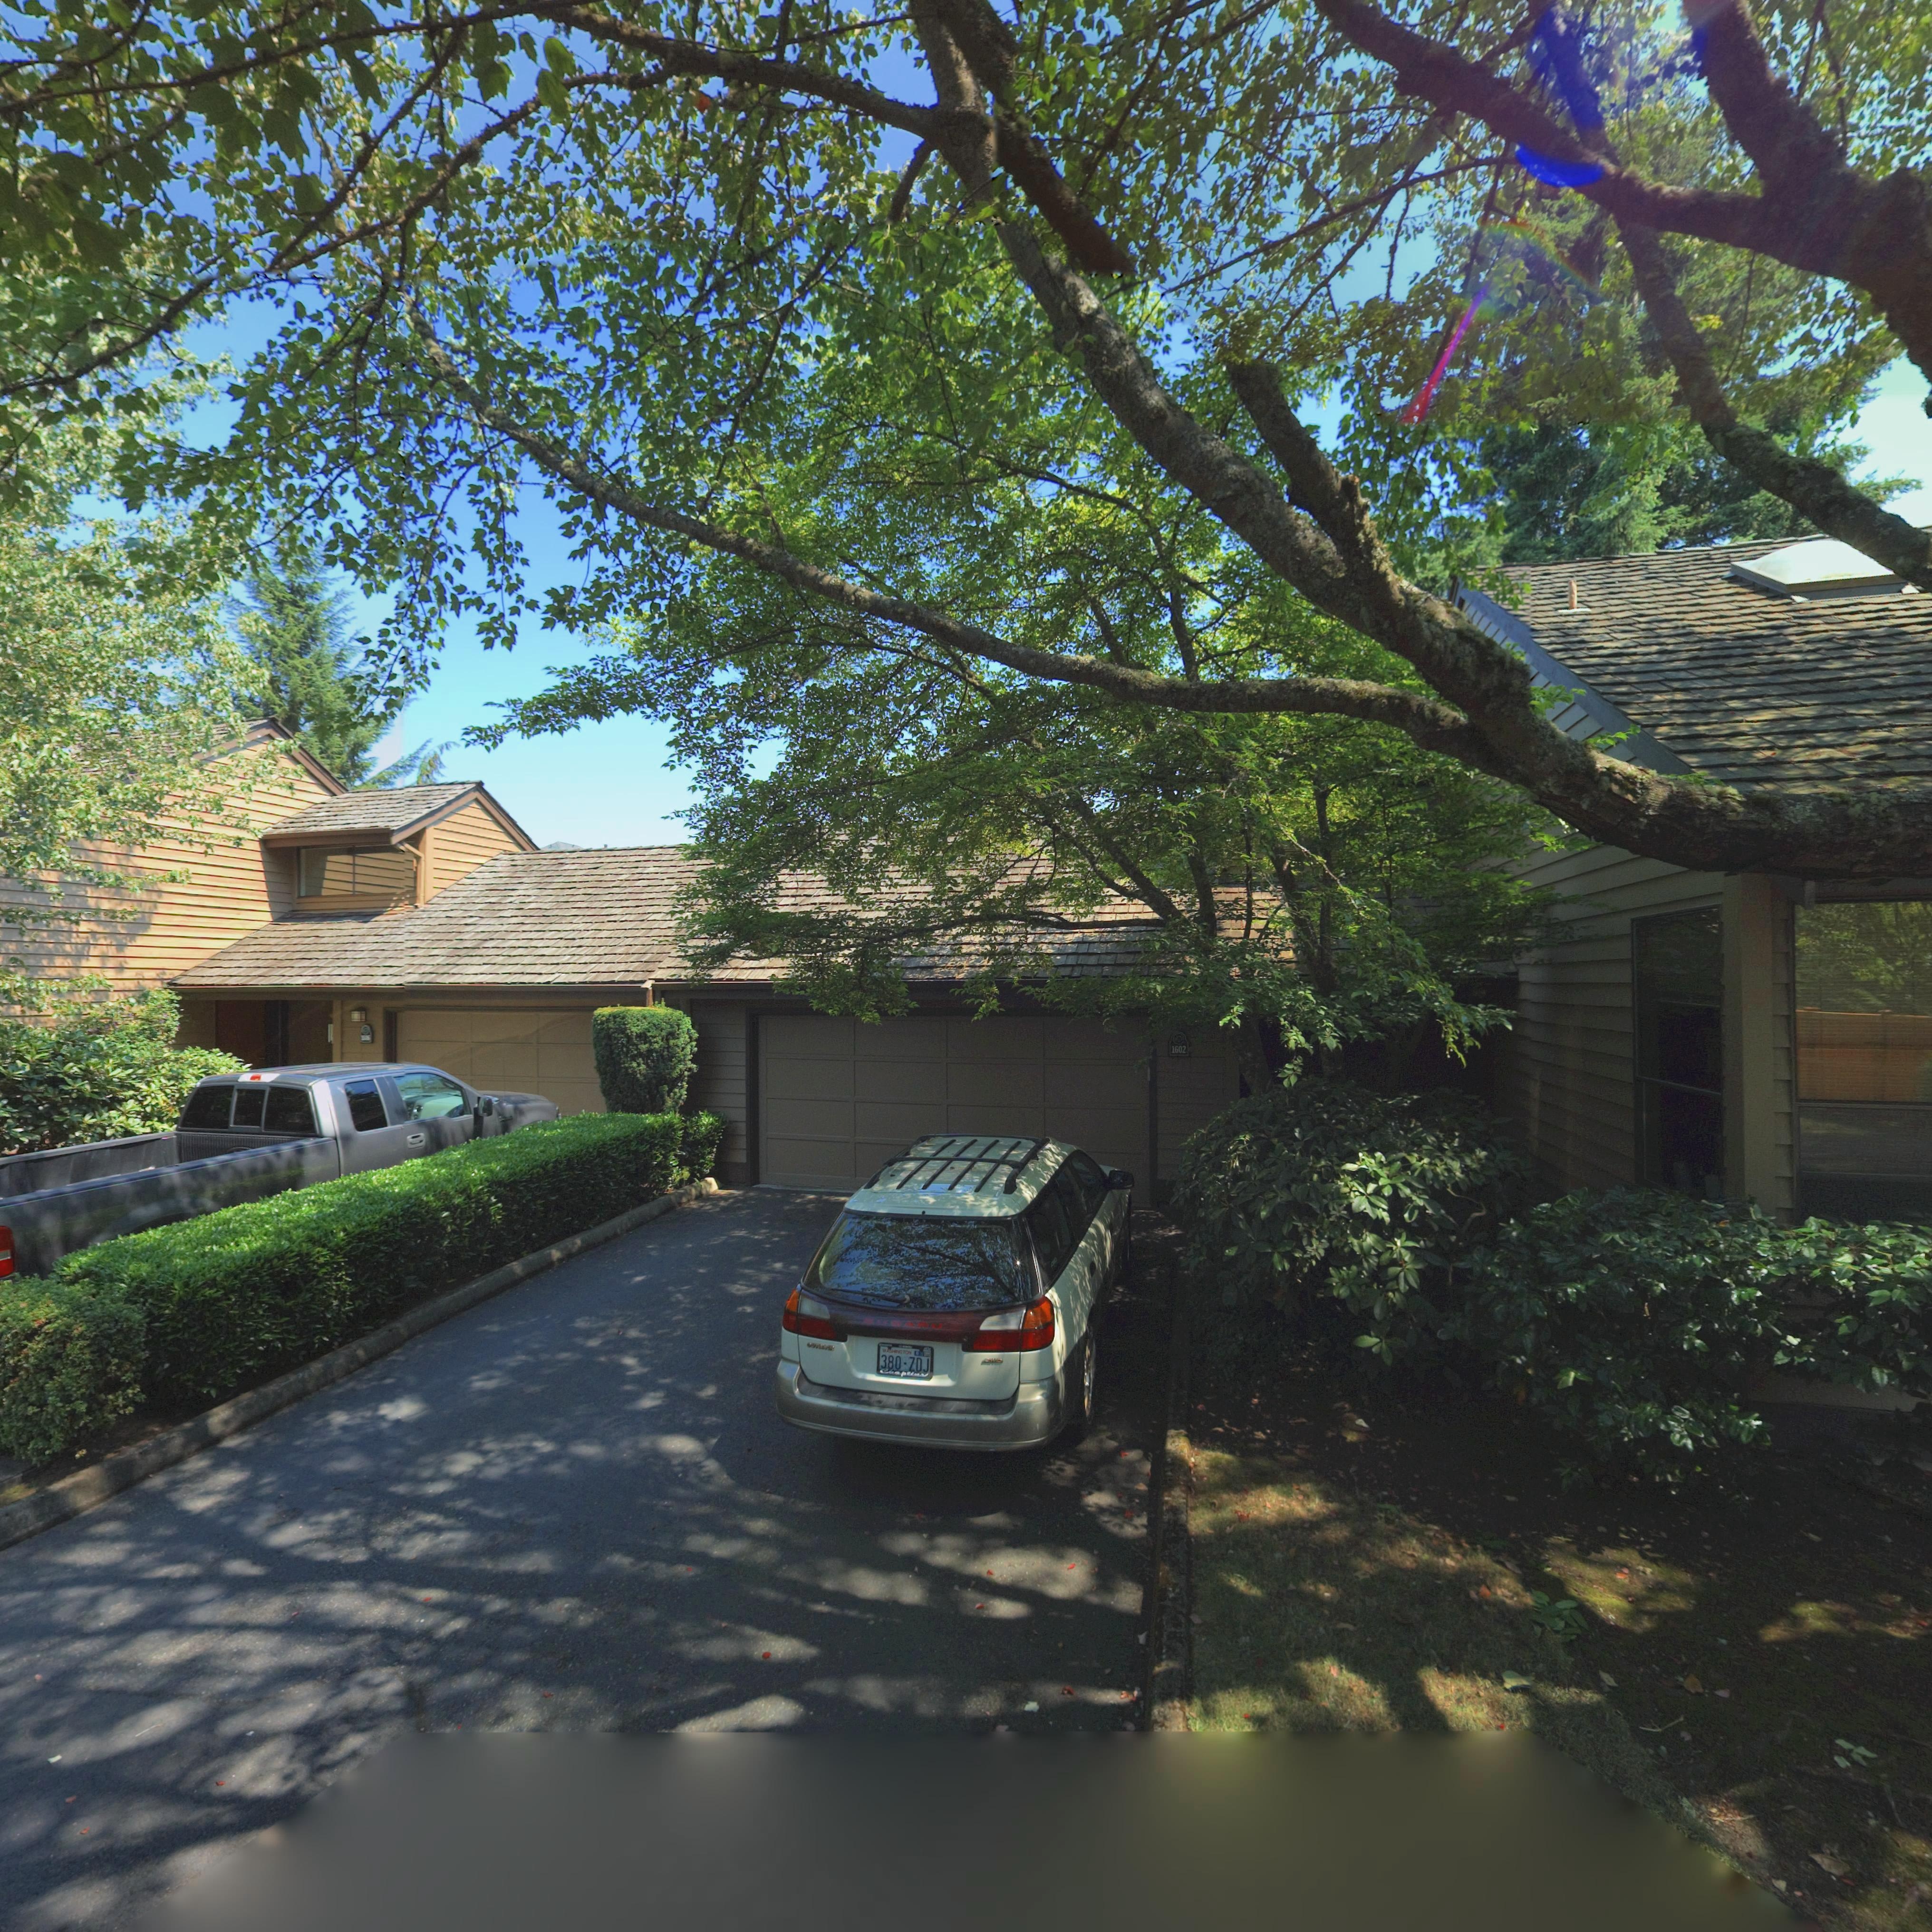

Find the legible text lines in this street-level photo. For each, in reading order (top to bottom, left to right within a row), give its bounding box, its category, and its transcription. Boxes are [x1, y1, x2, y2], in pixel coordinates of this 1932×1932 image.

[1171, 1044, 1187, 1053] StreetNumber: 1602